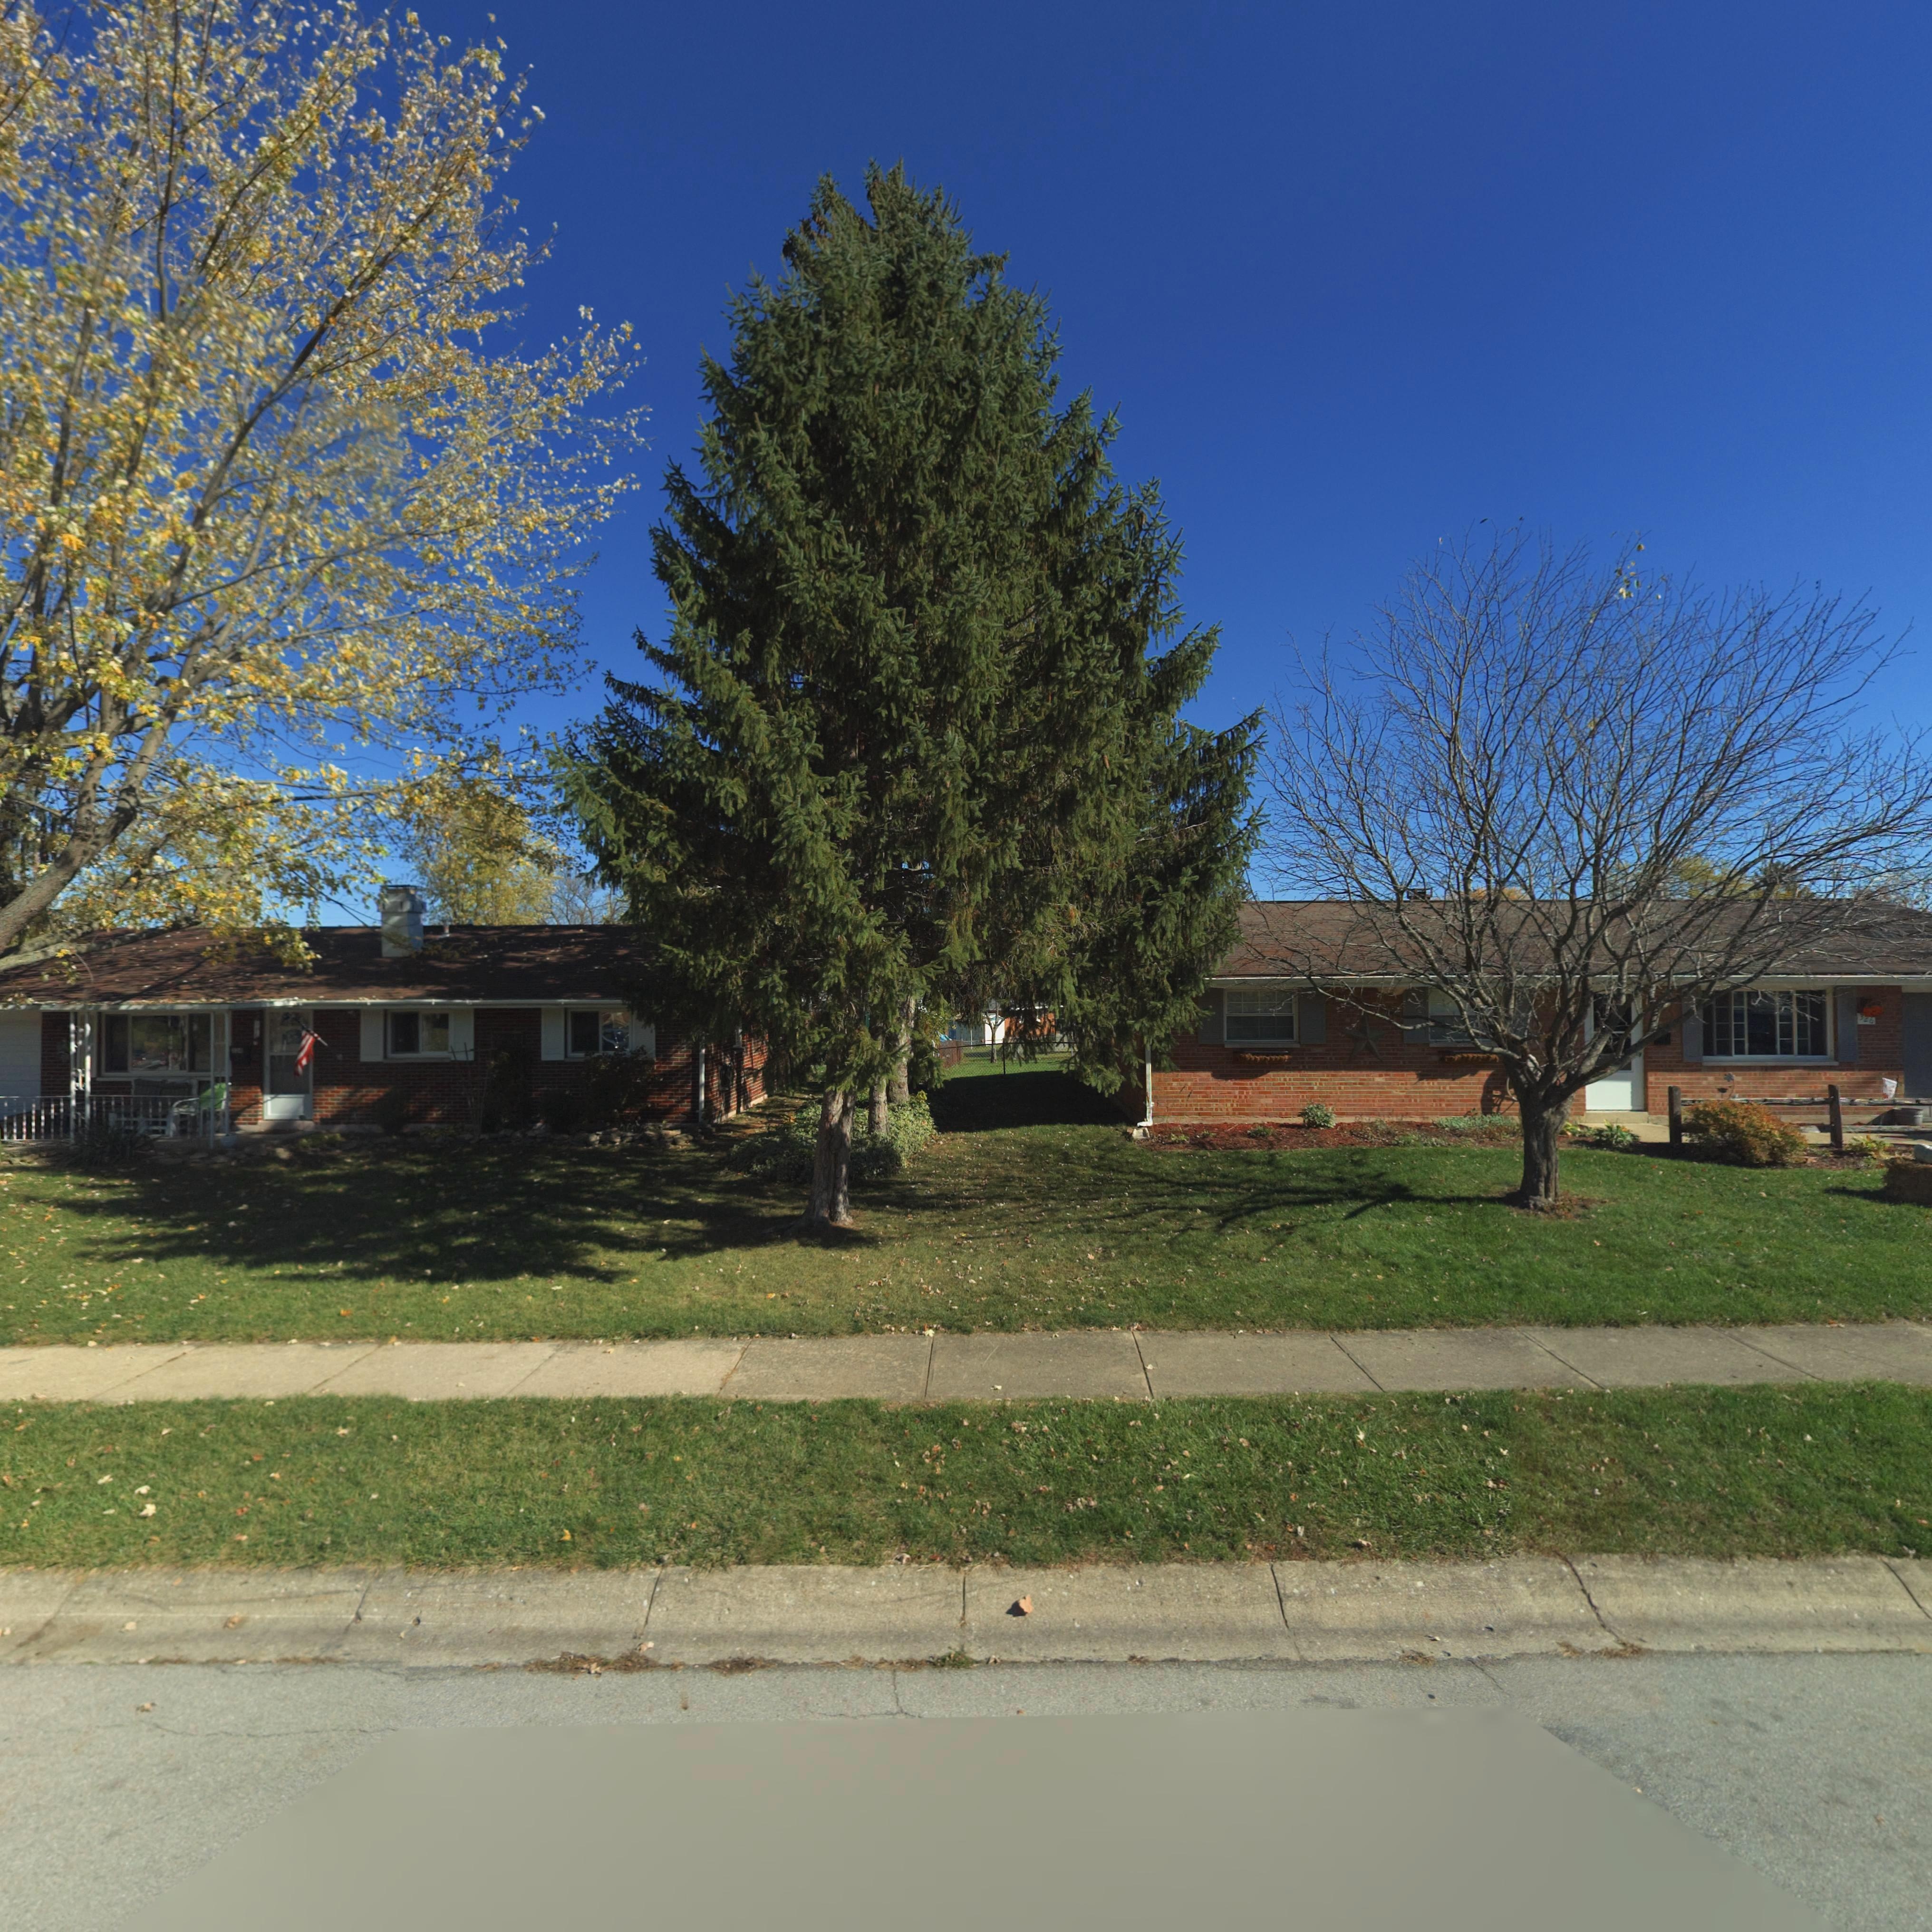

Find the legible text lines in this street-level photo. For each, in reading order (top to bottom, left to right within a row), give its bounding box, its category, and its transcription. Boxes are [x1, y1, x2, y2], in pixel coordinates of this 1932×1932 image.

[1858, 1012, 1875, 1025] StreetNumber: 3*6